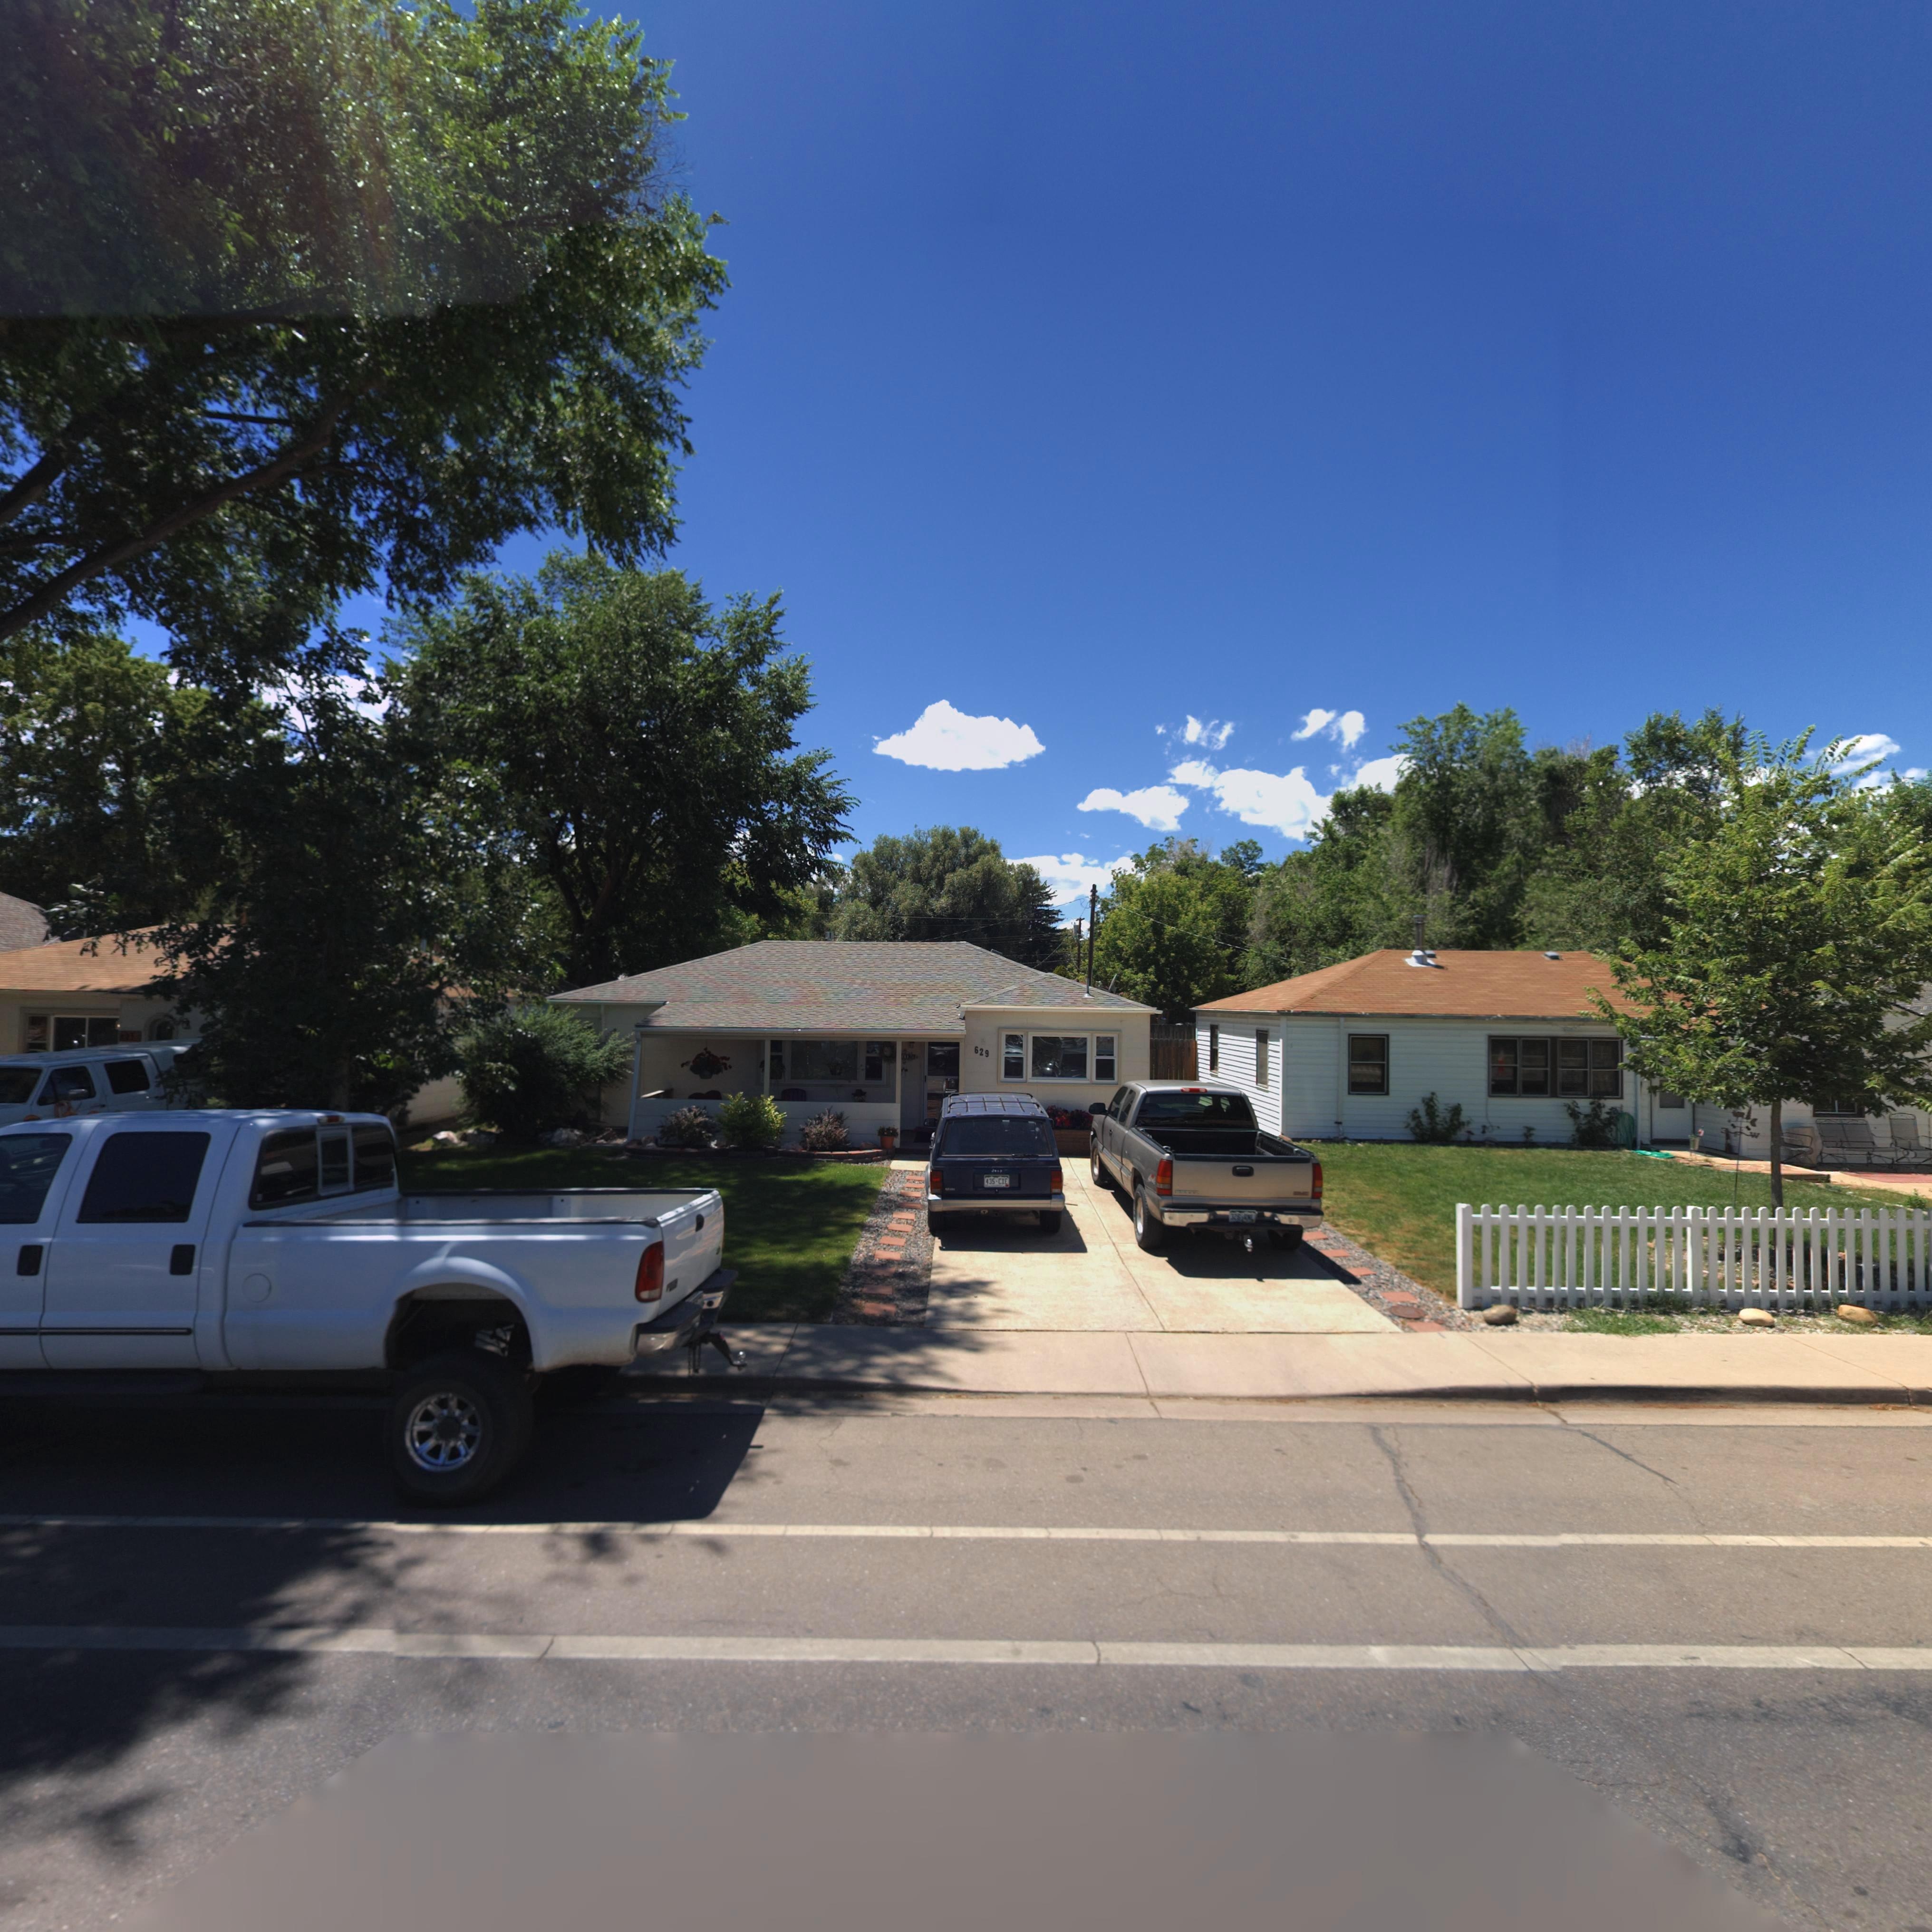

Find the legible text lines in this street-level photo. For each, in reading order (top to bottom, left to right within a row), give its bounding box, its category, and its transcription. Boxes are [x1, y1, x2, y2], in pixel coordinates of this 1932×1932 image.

[974, 1045, 989, 1058] StreetNumber: 629